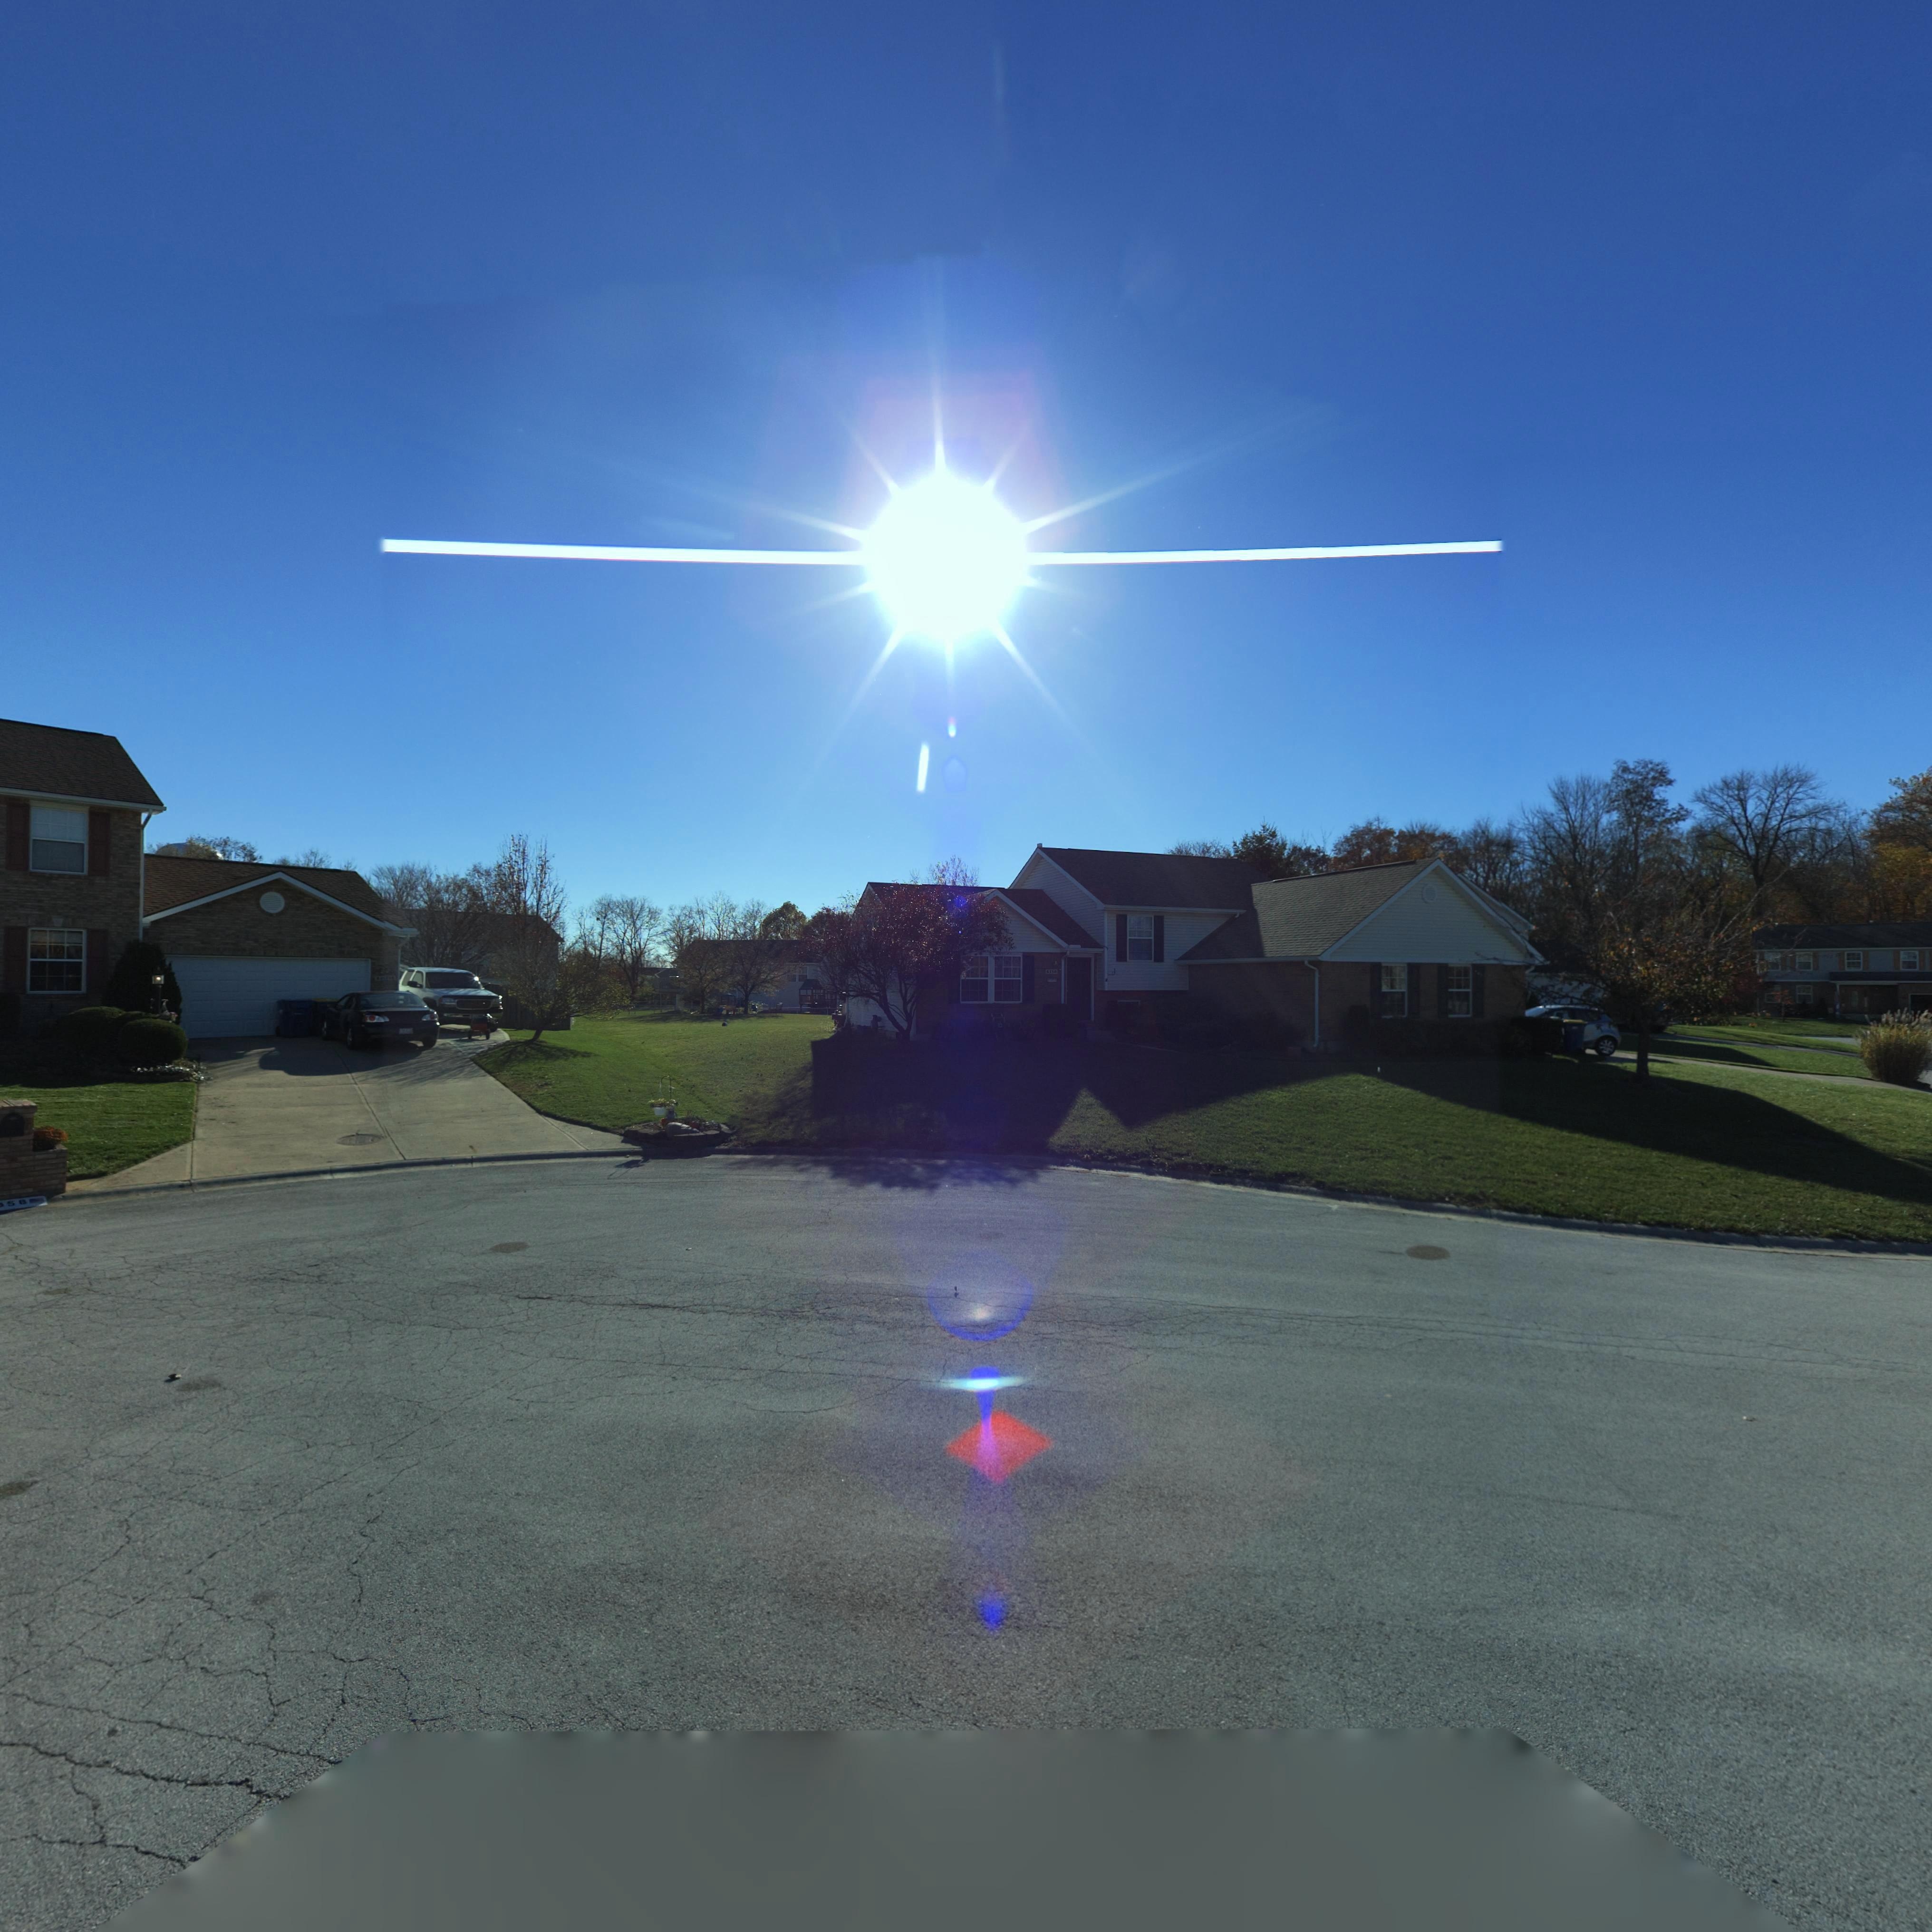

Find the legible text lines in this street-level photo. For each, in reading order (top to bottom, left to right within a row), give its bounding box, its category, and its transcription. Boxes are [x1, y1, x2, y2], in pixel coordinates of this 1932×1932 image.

[1046, 970, 1057, 974] StreetNumber: **50
[376, 976, 380, 980] StreetNumber: 6